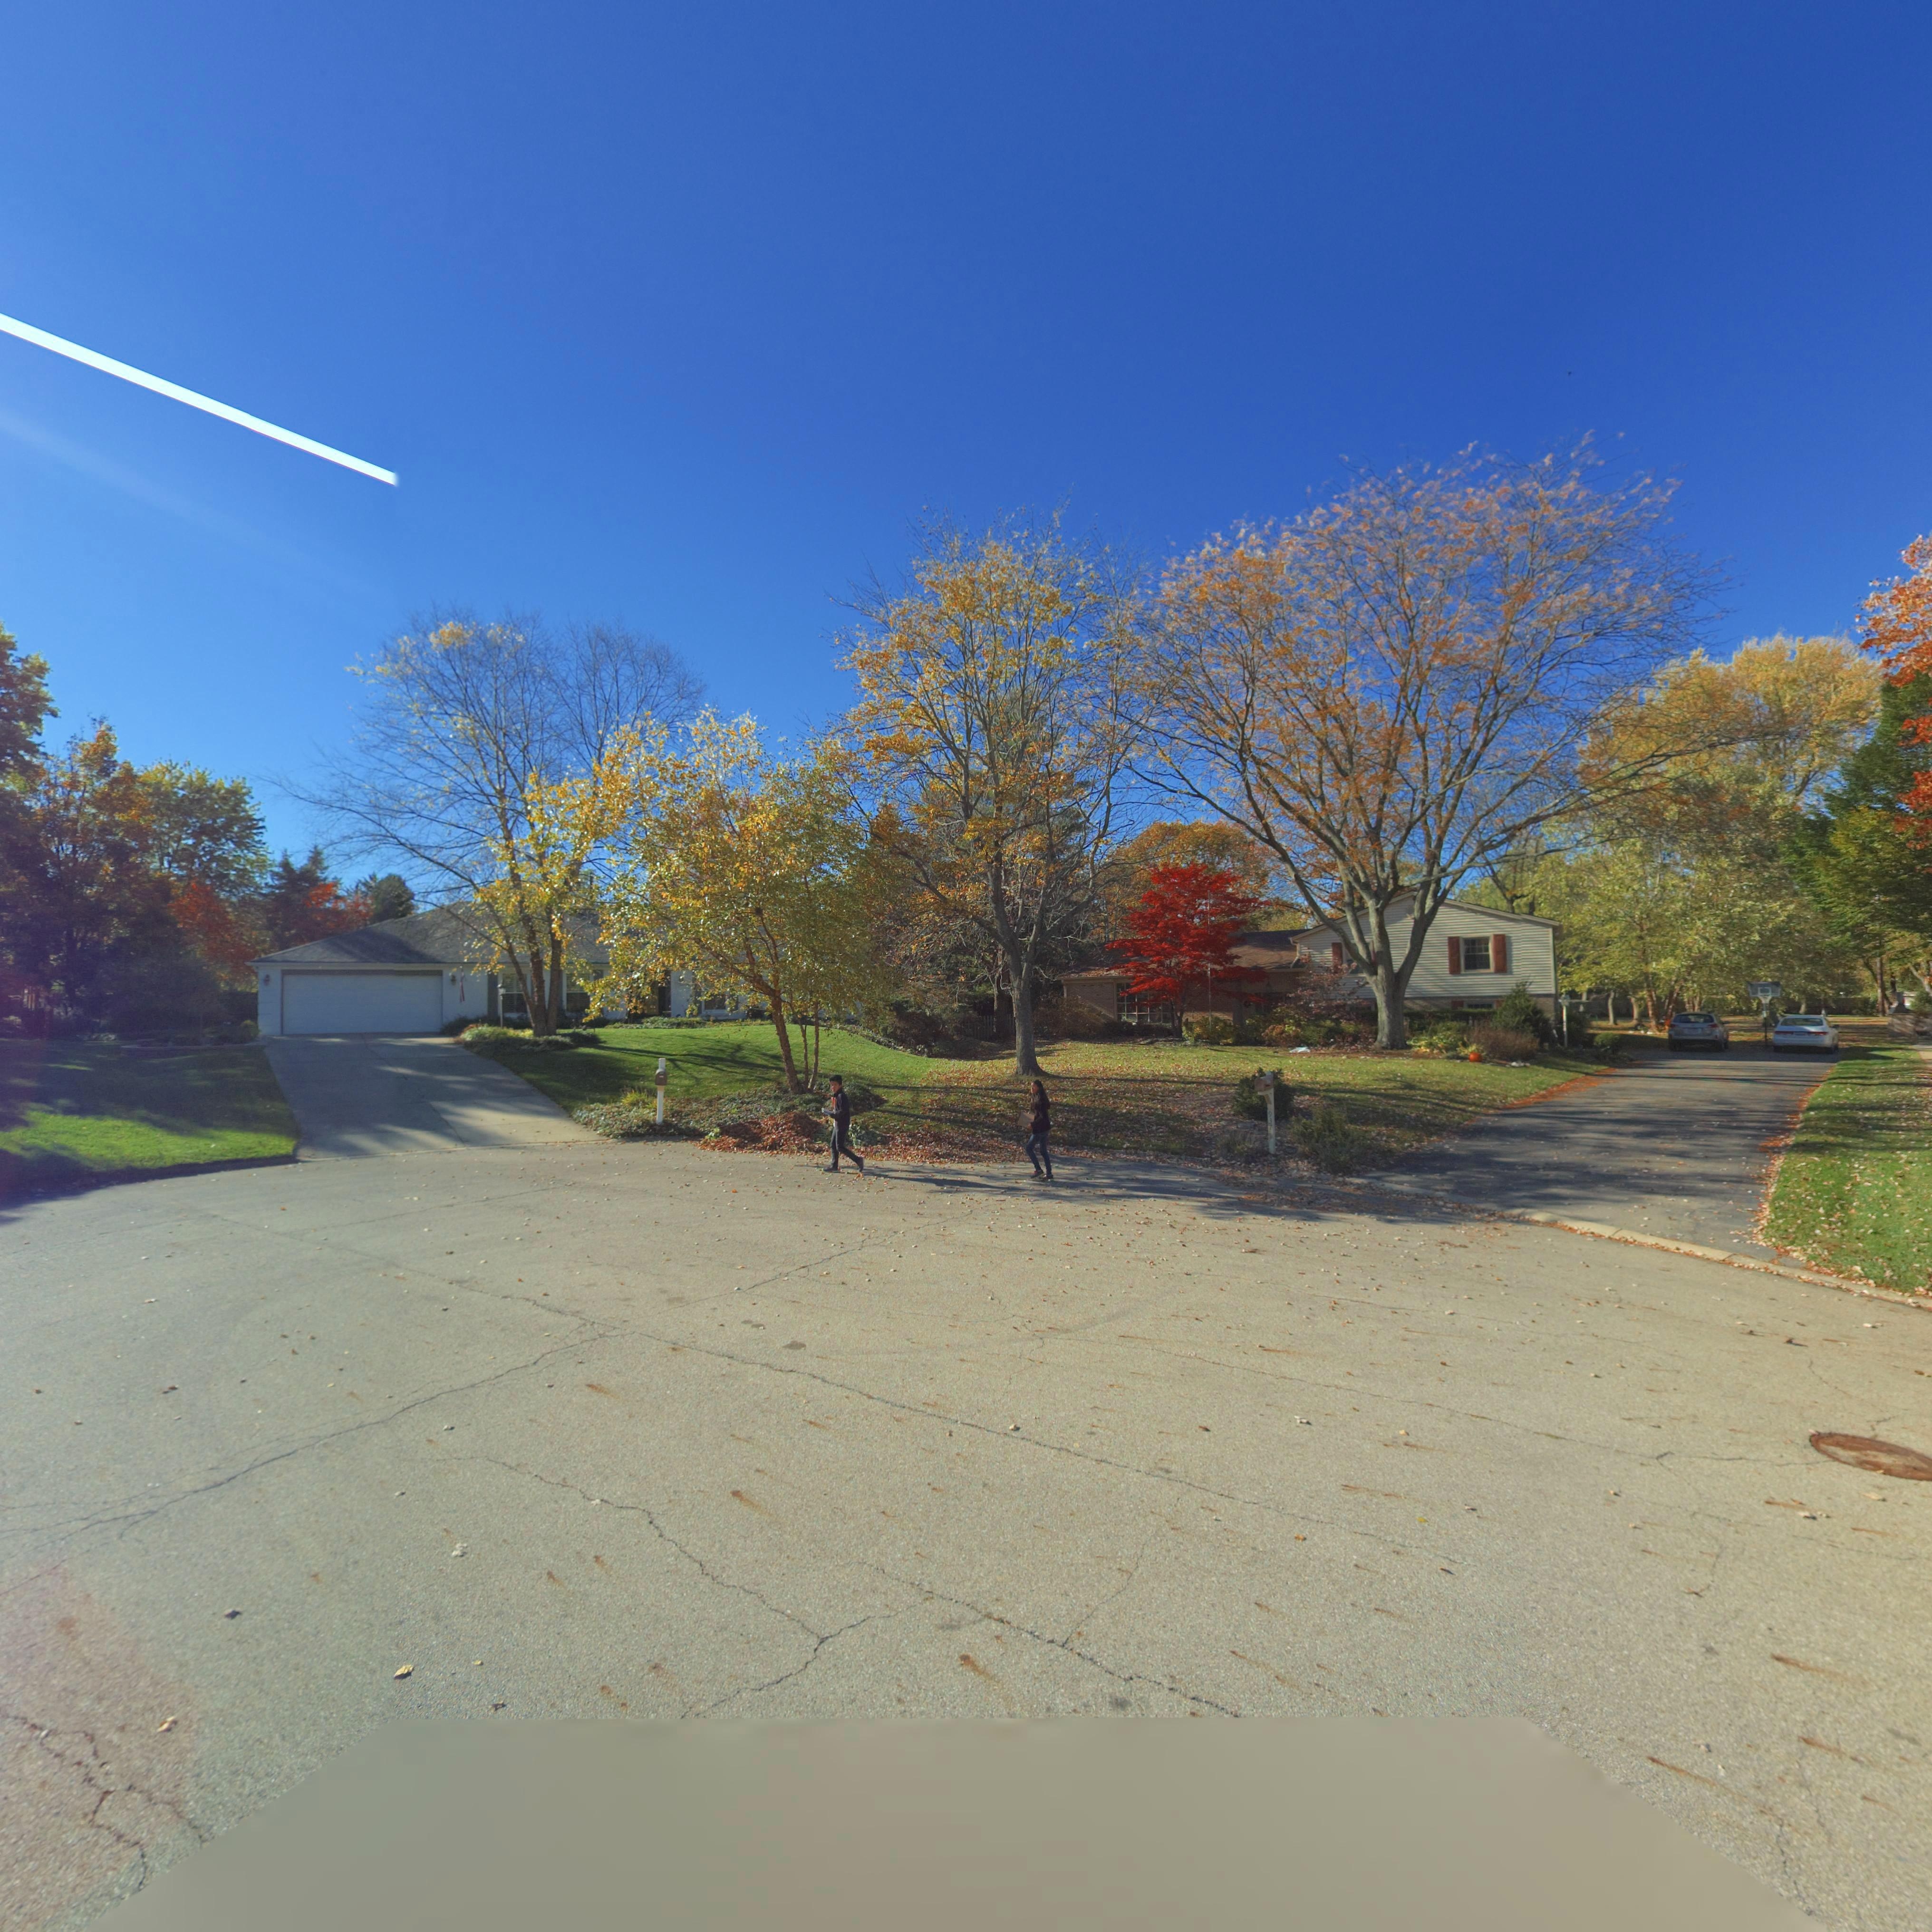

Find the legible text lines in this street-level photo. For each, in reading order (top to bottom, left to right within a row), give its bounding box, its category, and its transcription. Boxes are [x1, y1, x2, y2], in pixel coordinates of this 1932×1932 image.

[1267, 1110, 1273, 1132] StreetNumber: 937